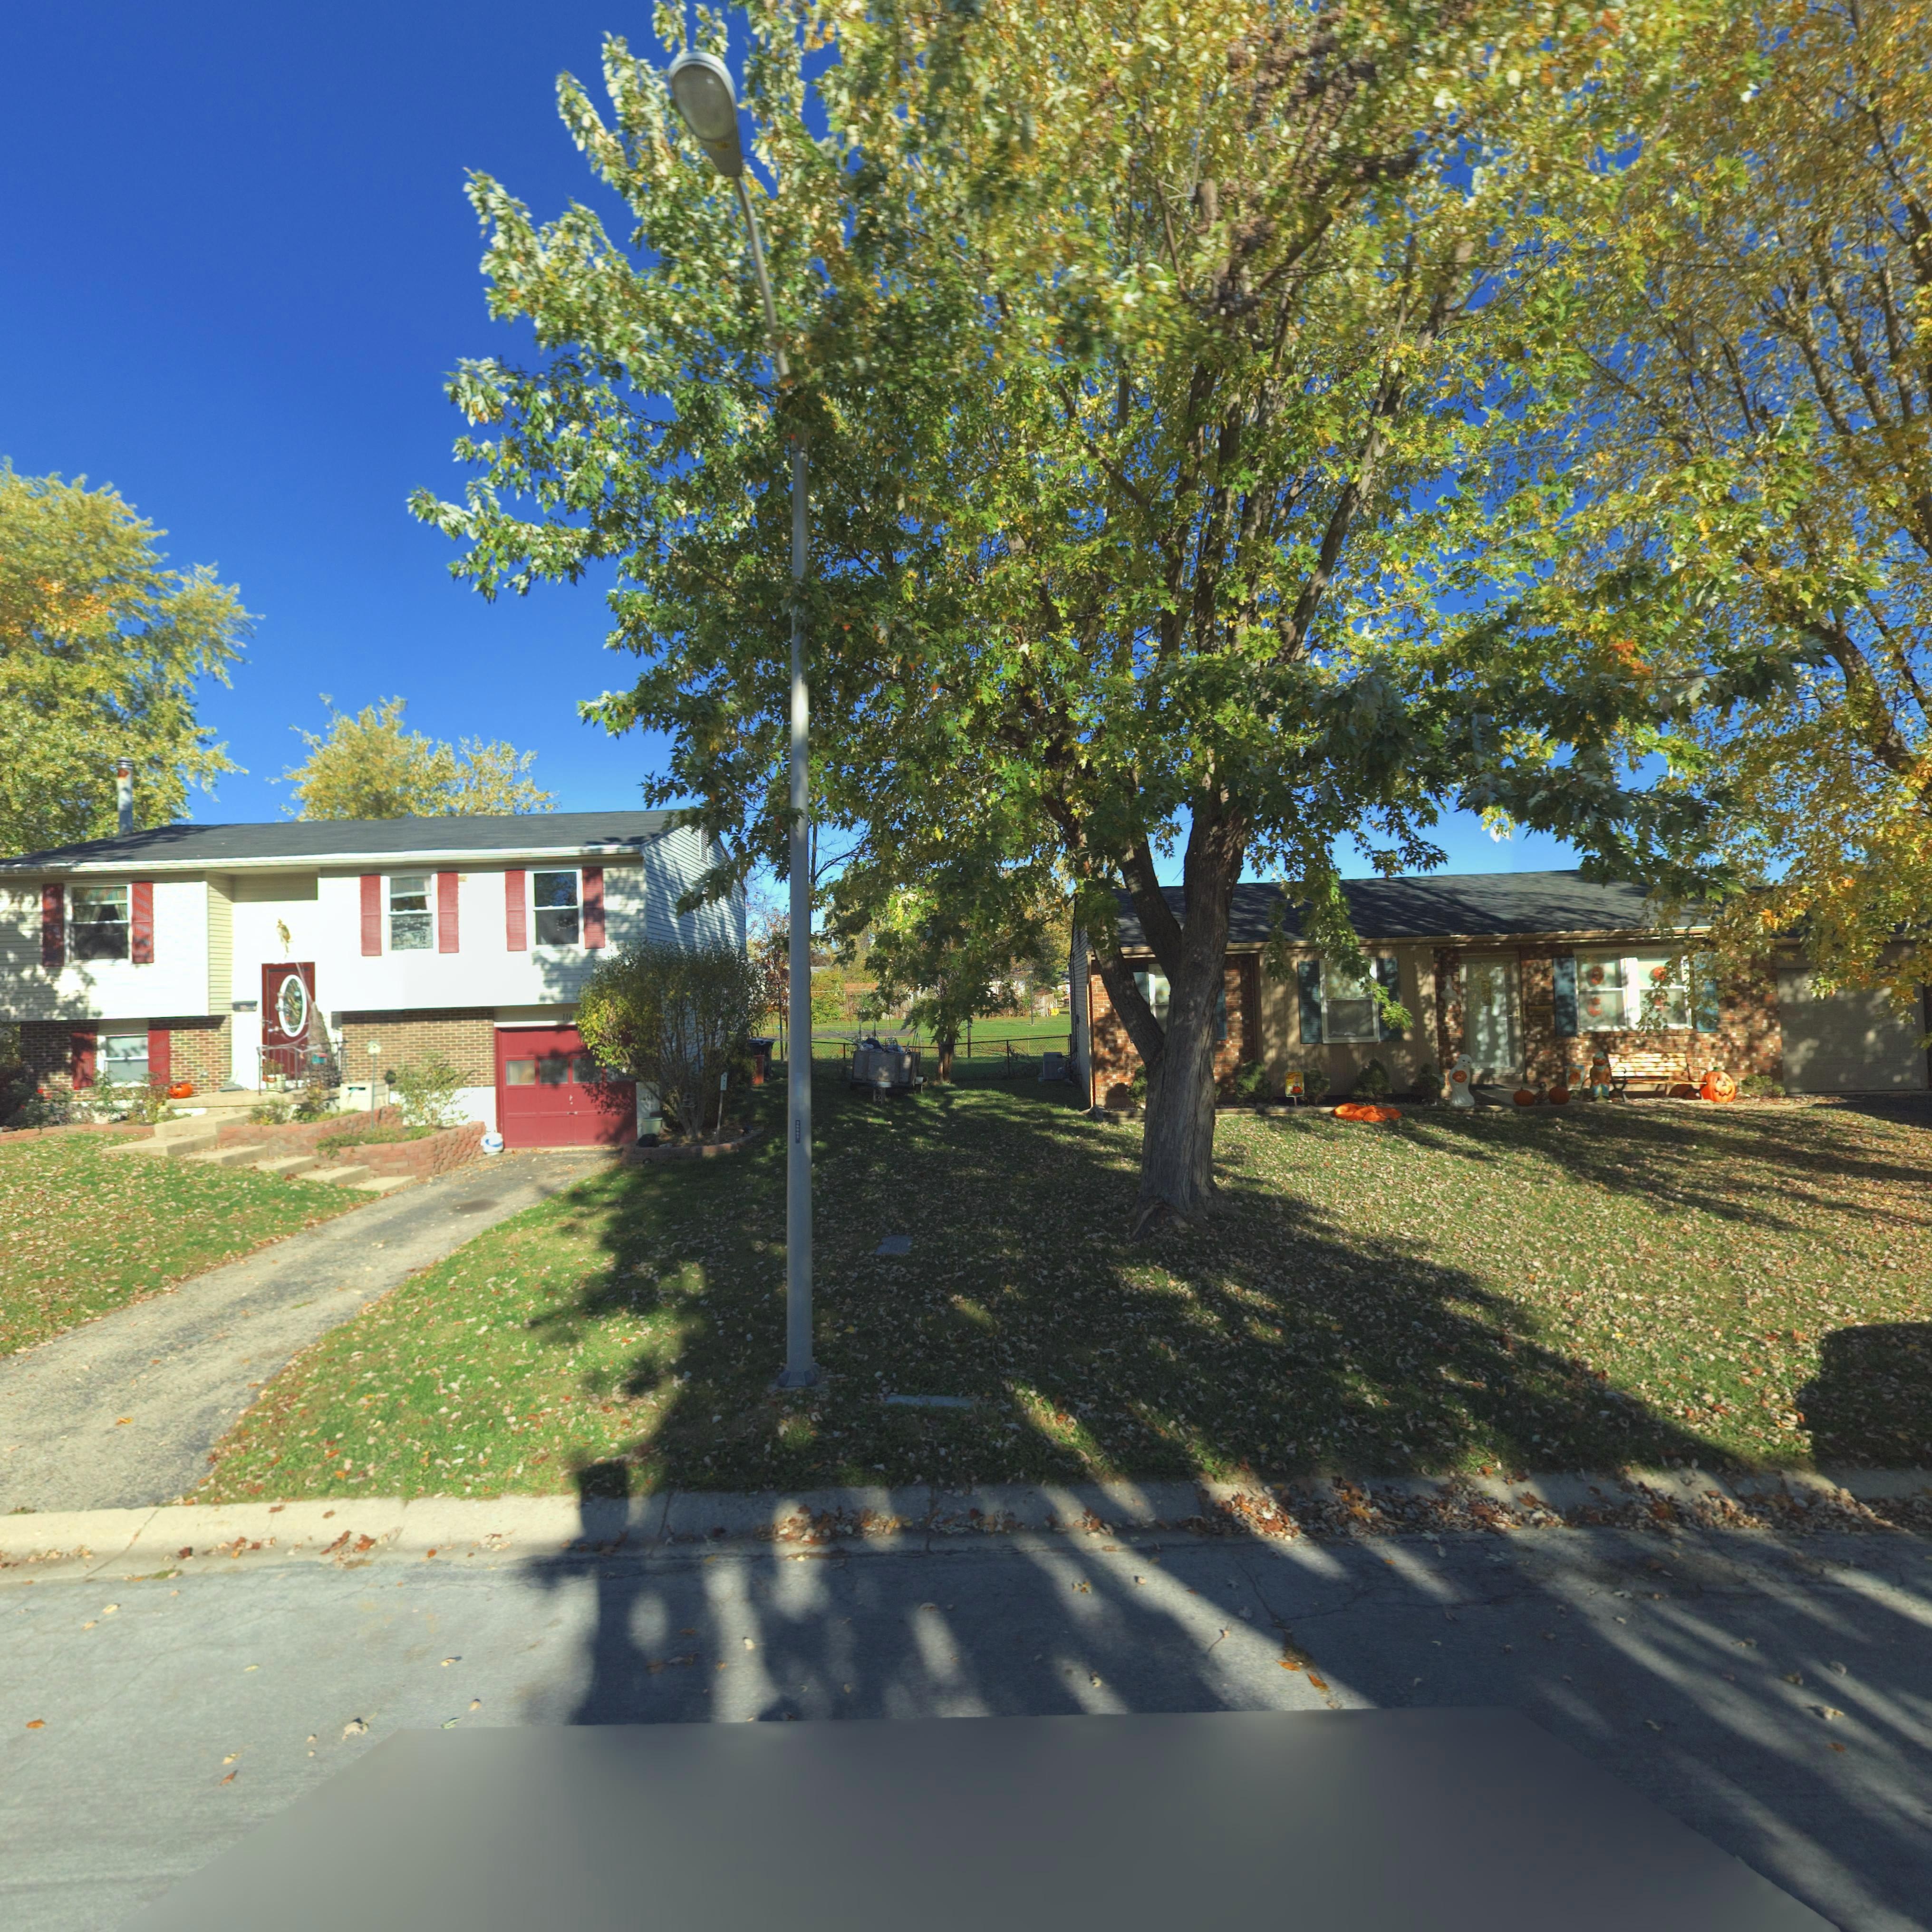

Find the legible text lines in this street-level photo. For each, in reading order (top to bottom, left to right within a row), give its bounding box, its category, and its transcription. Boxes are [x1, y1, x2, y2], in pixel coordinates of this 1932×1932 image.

[562, 1013, 573, 1021] StreetNumber: 116